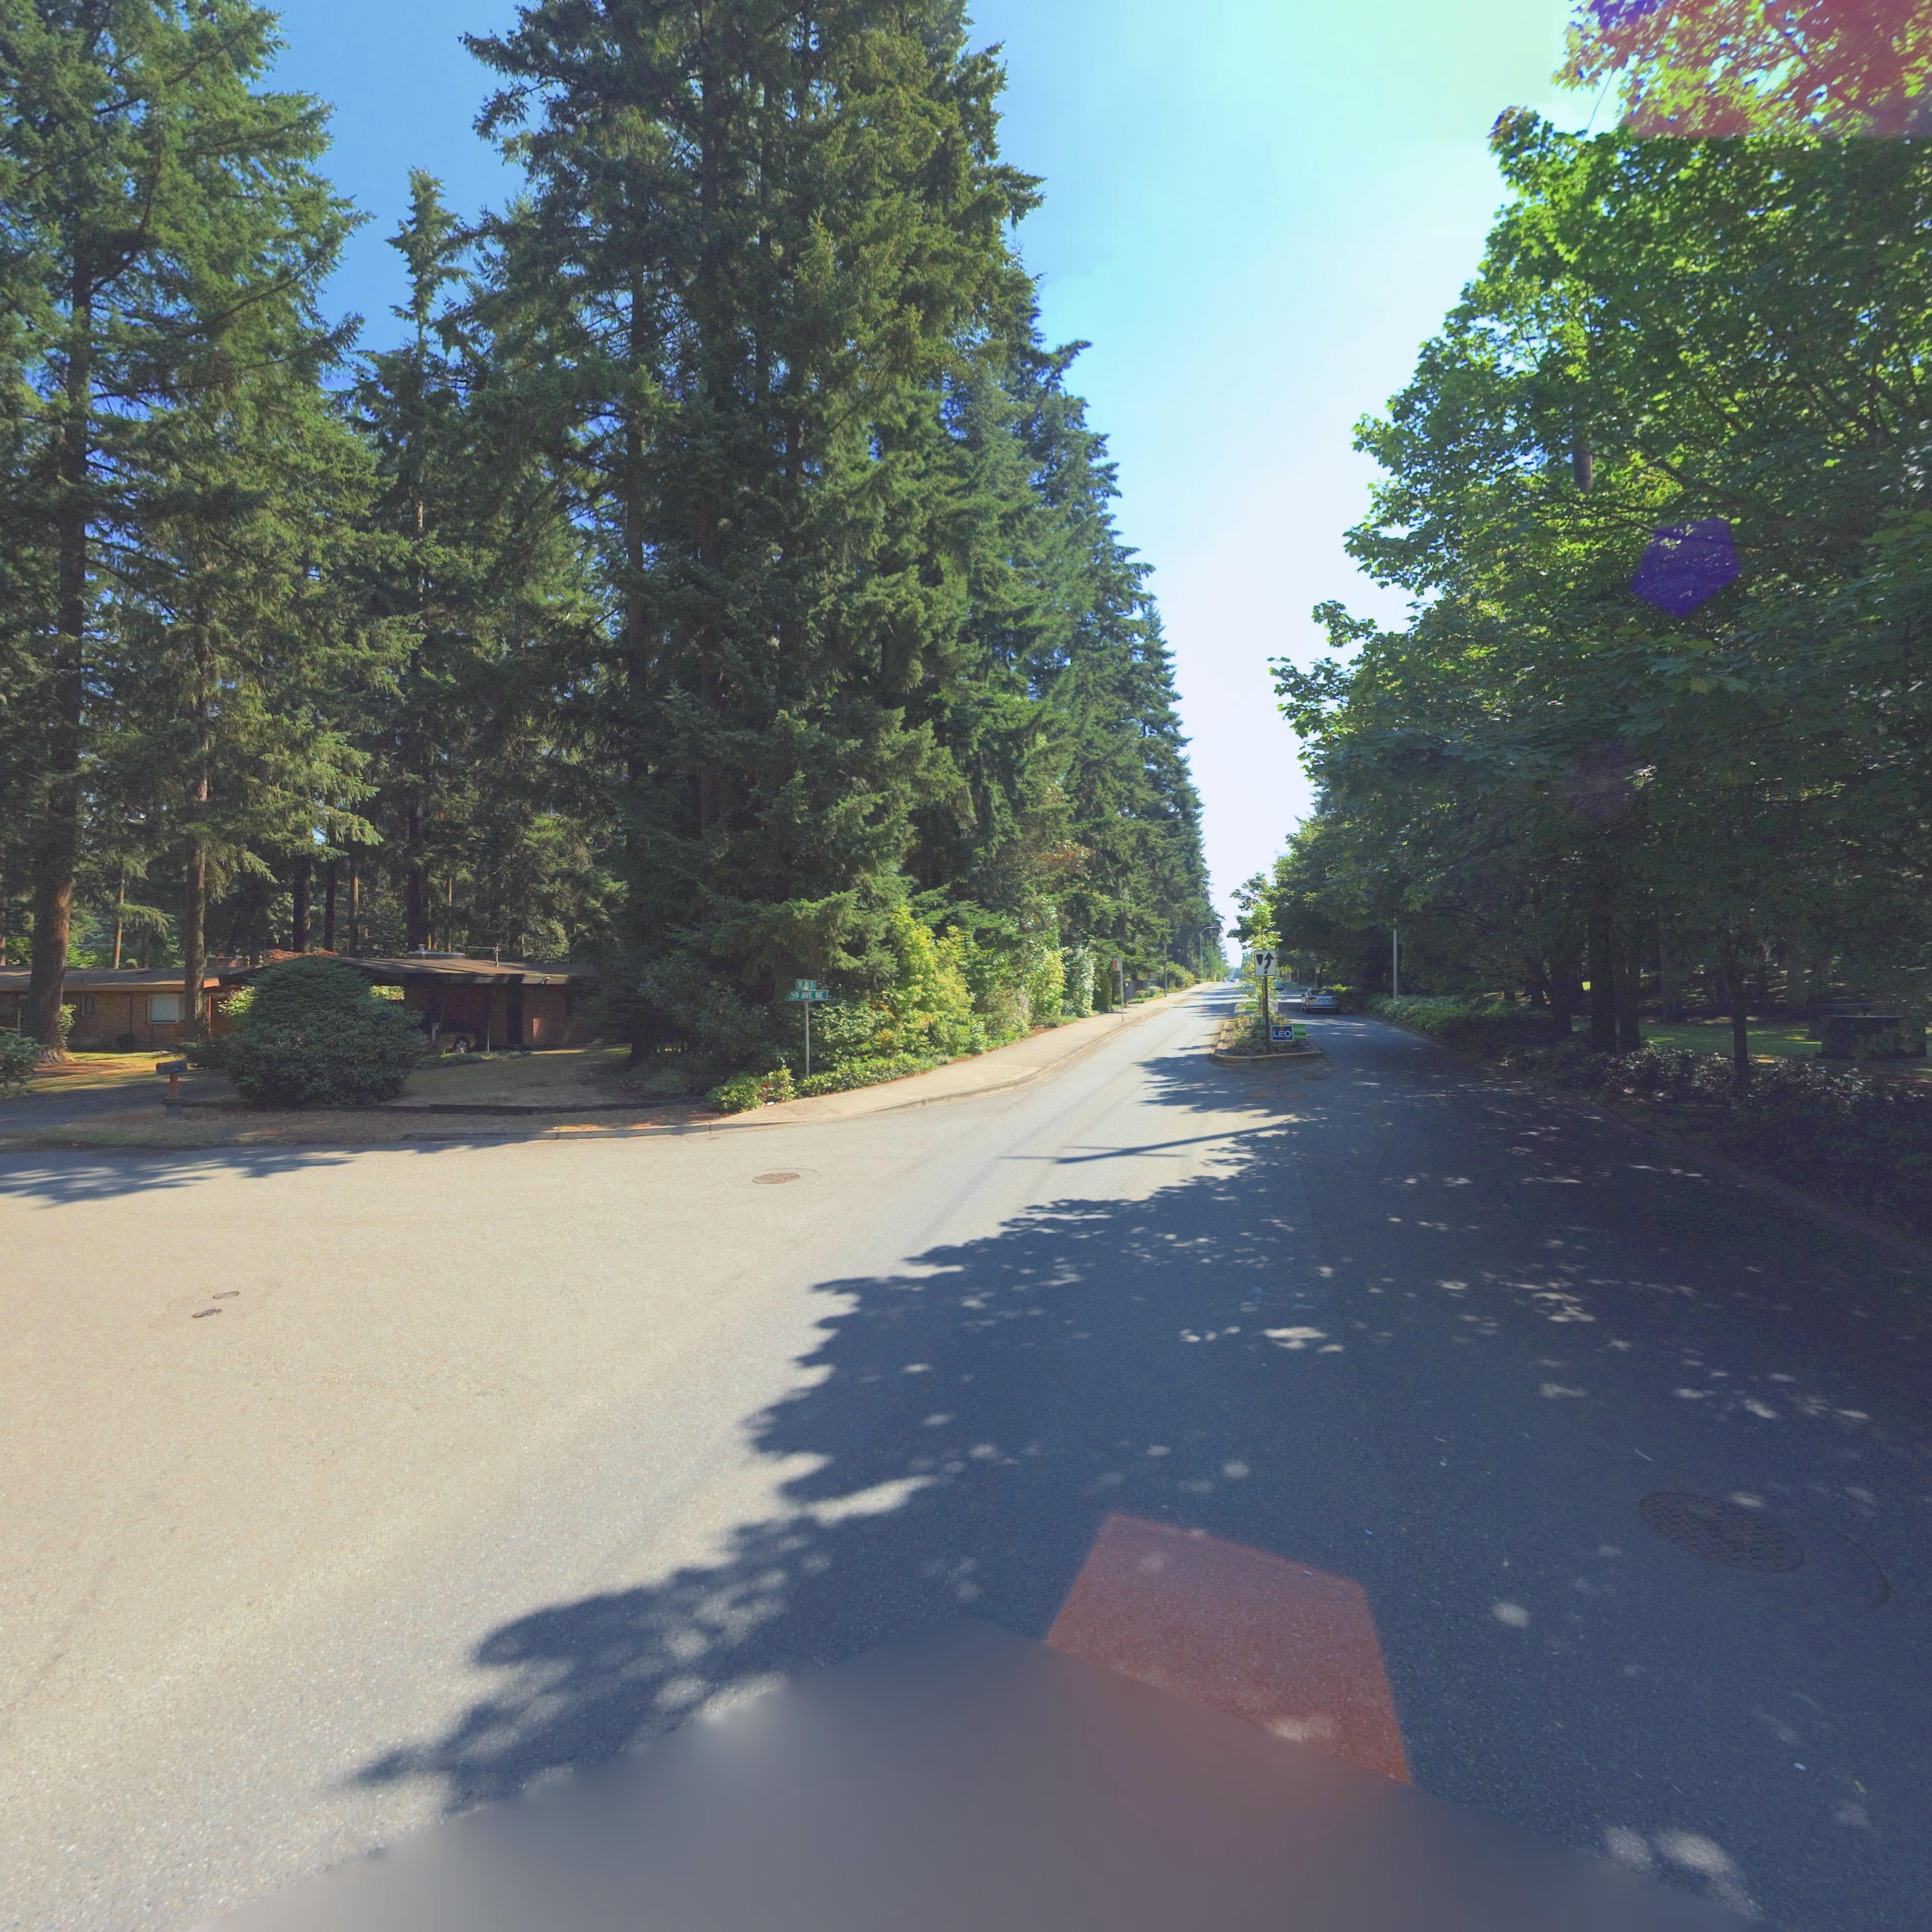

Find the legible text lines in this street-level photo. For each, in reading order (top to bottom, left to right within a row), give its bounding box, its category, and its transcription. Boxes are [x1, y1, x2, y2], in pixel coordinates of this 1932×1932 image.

[797, 980, 814, 989] StreetName: NE 24 ST
[791, 991, 824, 999] StreetName: 59 AVE NE